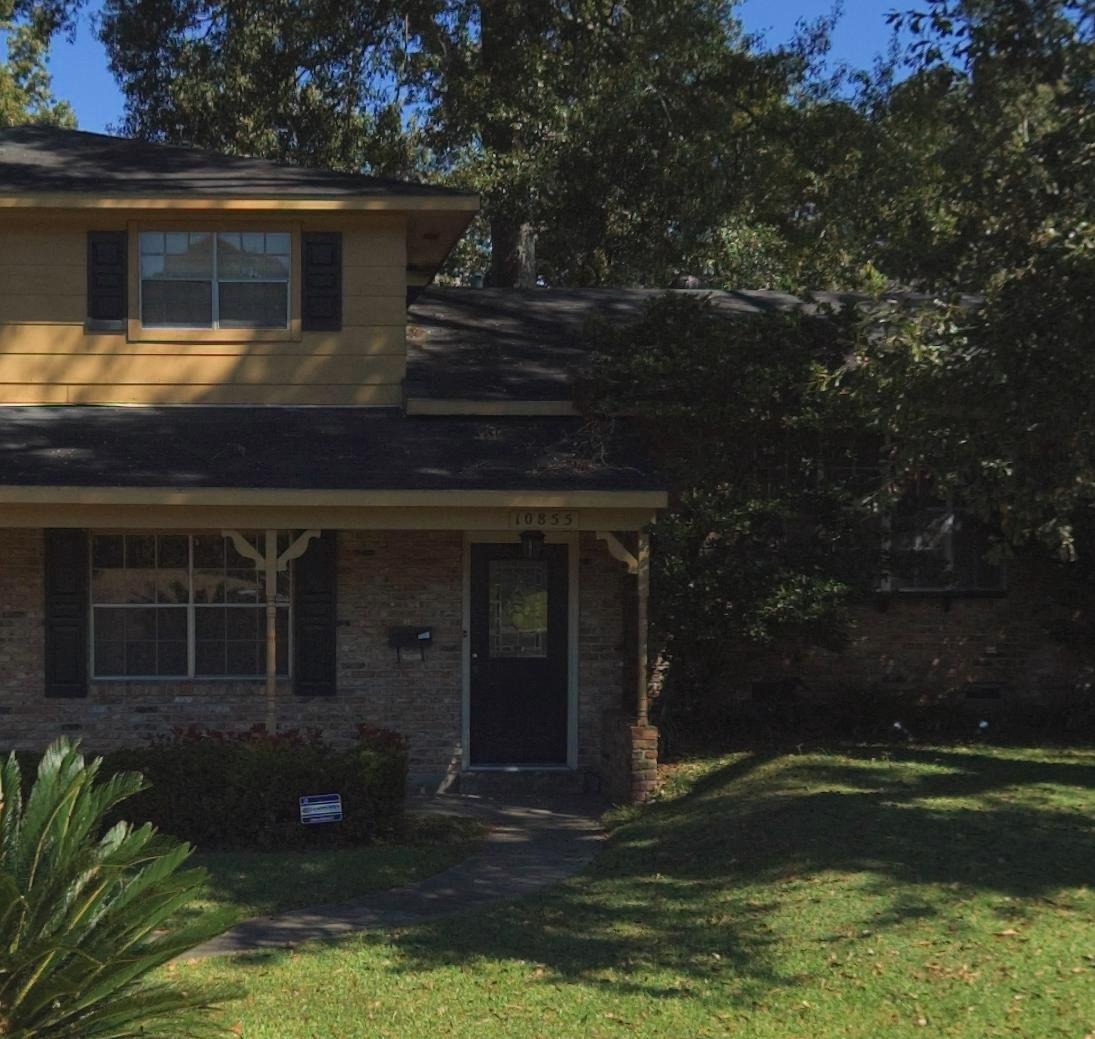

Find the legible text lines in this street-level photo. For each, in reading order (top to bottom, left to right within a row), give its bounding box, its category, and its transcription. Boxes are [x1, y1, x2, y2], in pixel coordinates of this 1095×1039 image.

[514, 511, 573, 527] StreetNumber: 10855